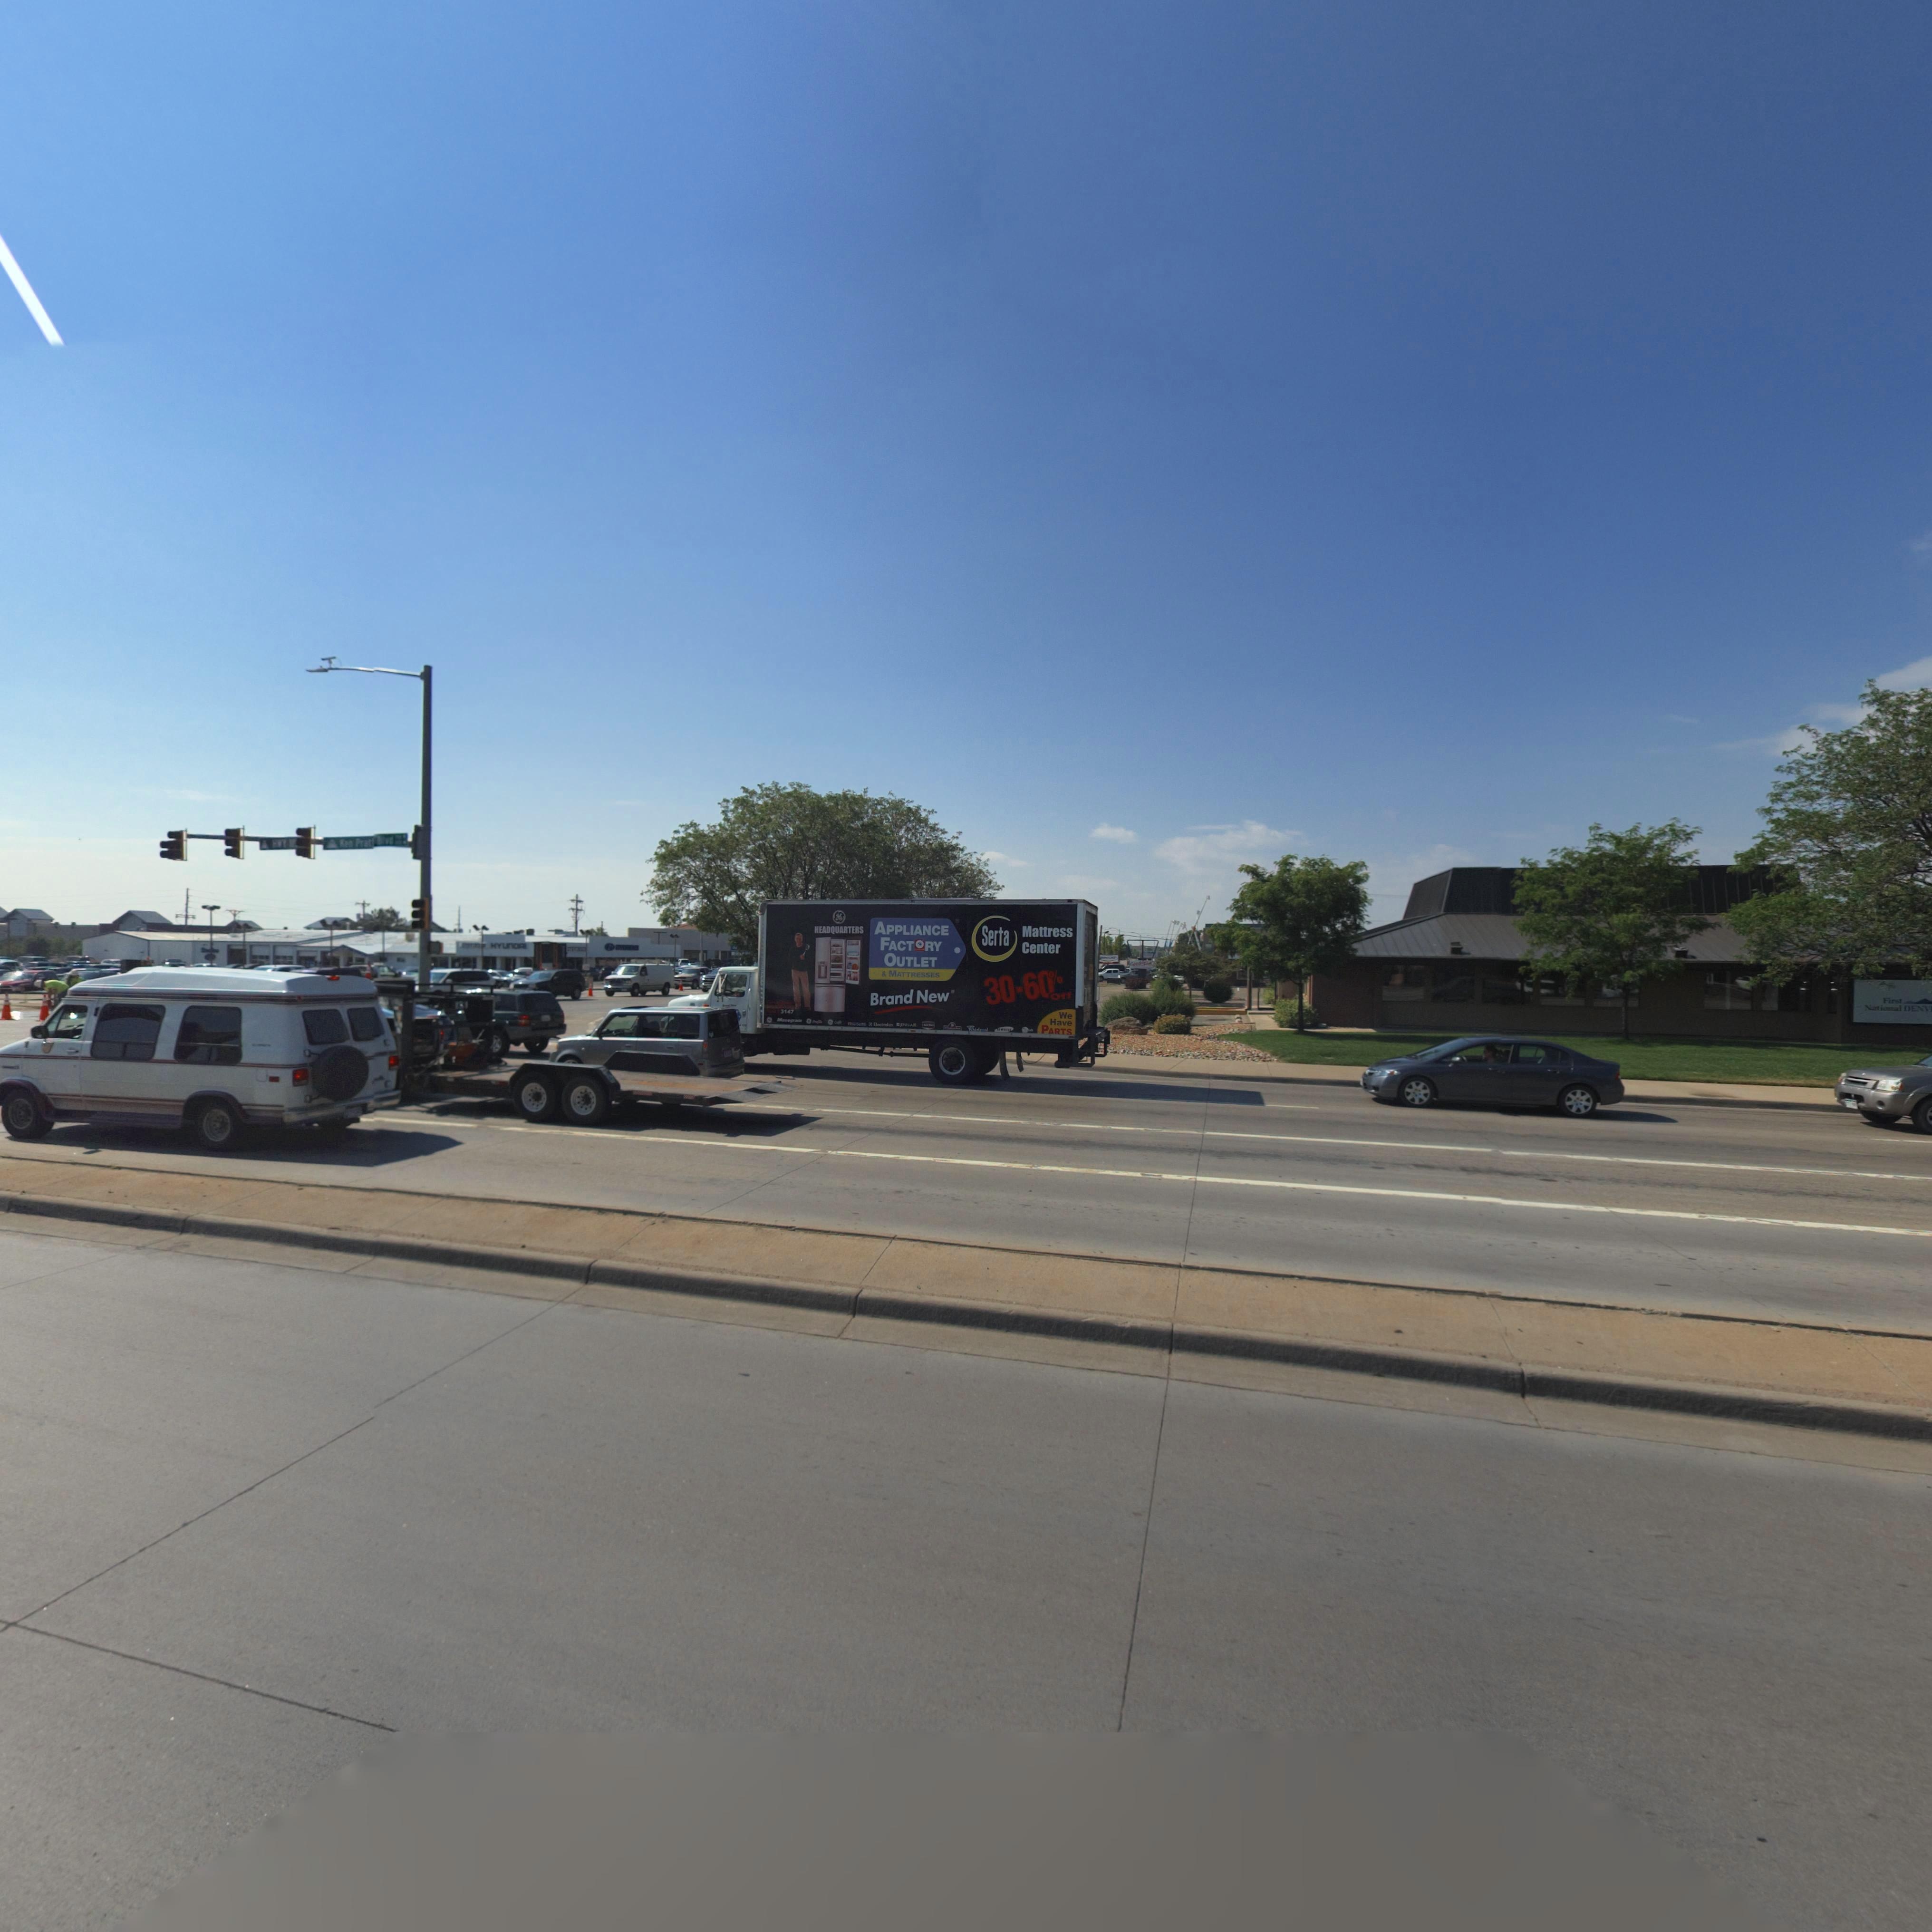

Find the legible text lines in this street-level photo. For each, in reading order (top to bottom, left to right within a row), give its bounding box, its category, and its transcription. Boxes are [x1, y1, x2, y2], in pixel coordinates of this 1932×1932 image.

[339, 835, 394, 848] StreetName: Ken Pratt Blvd
[490, 942, 526, 949] BusinessName: HYUnDAI
[1129, 960, 1152, 966] BusinessName: Goodf*lla
[1883, 996, 1902, 1004] BusinessName: First
[1864, 1004, 1902, 1012] None: National